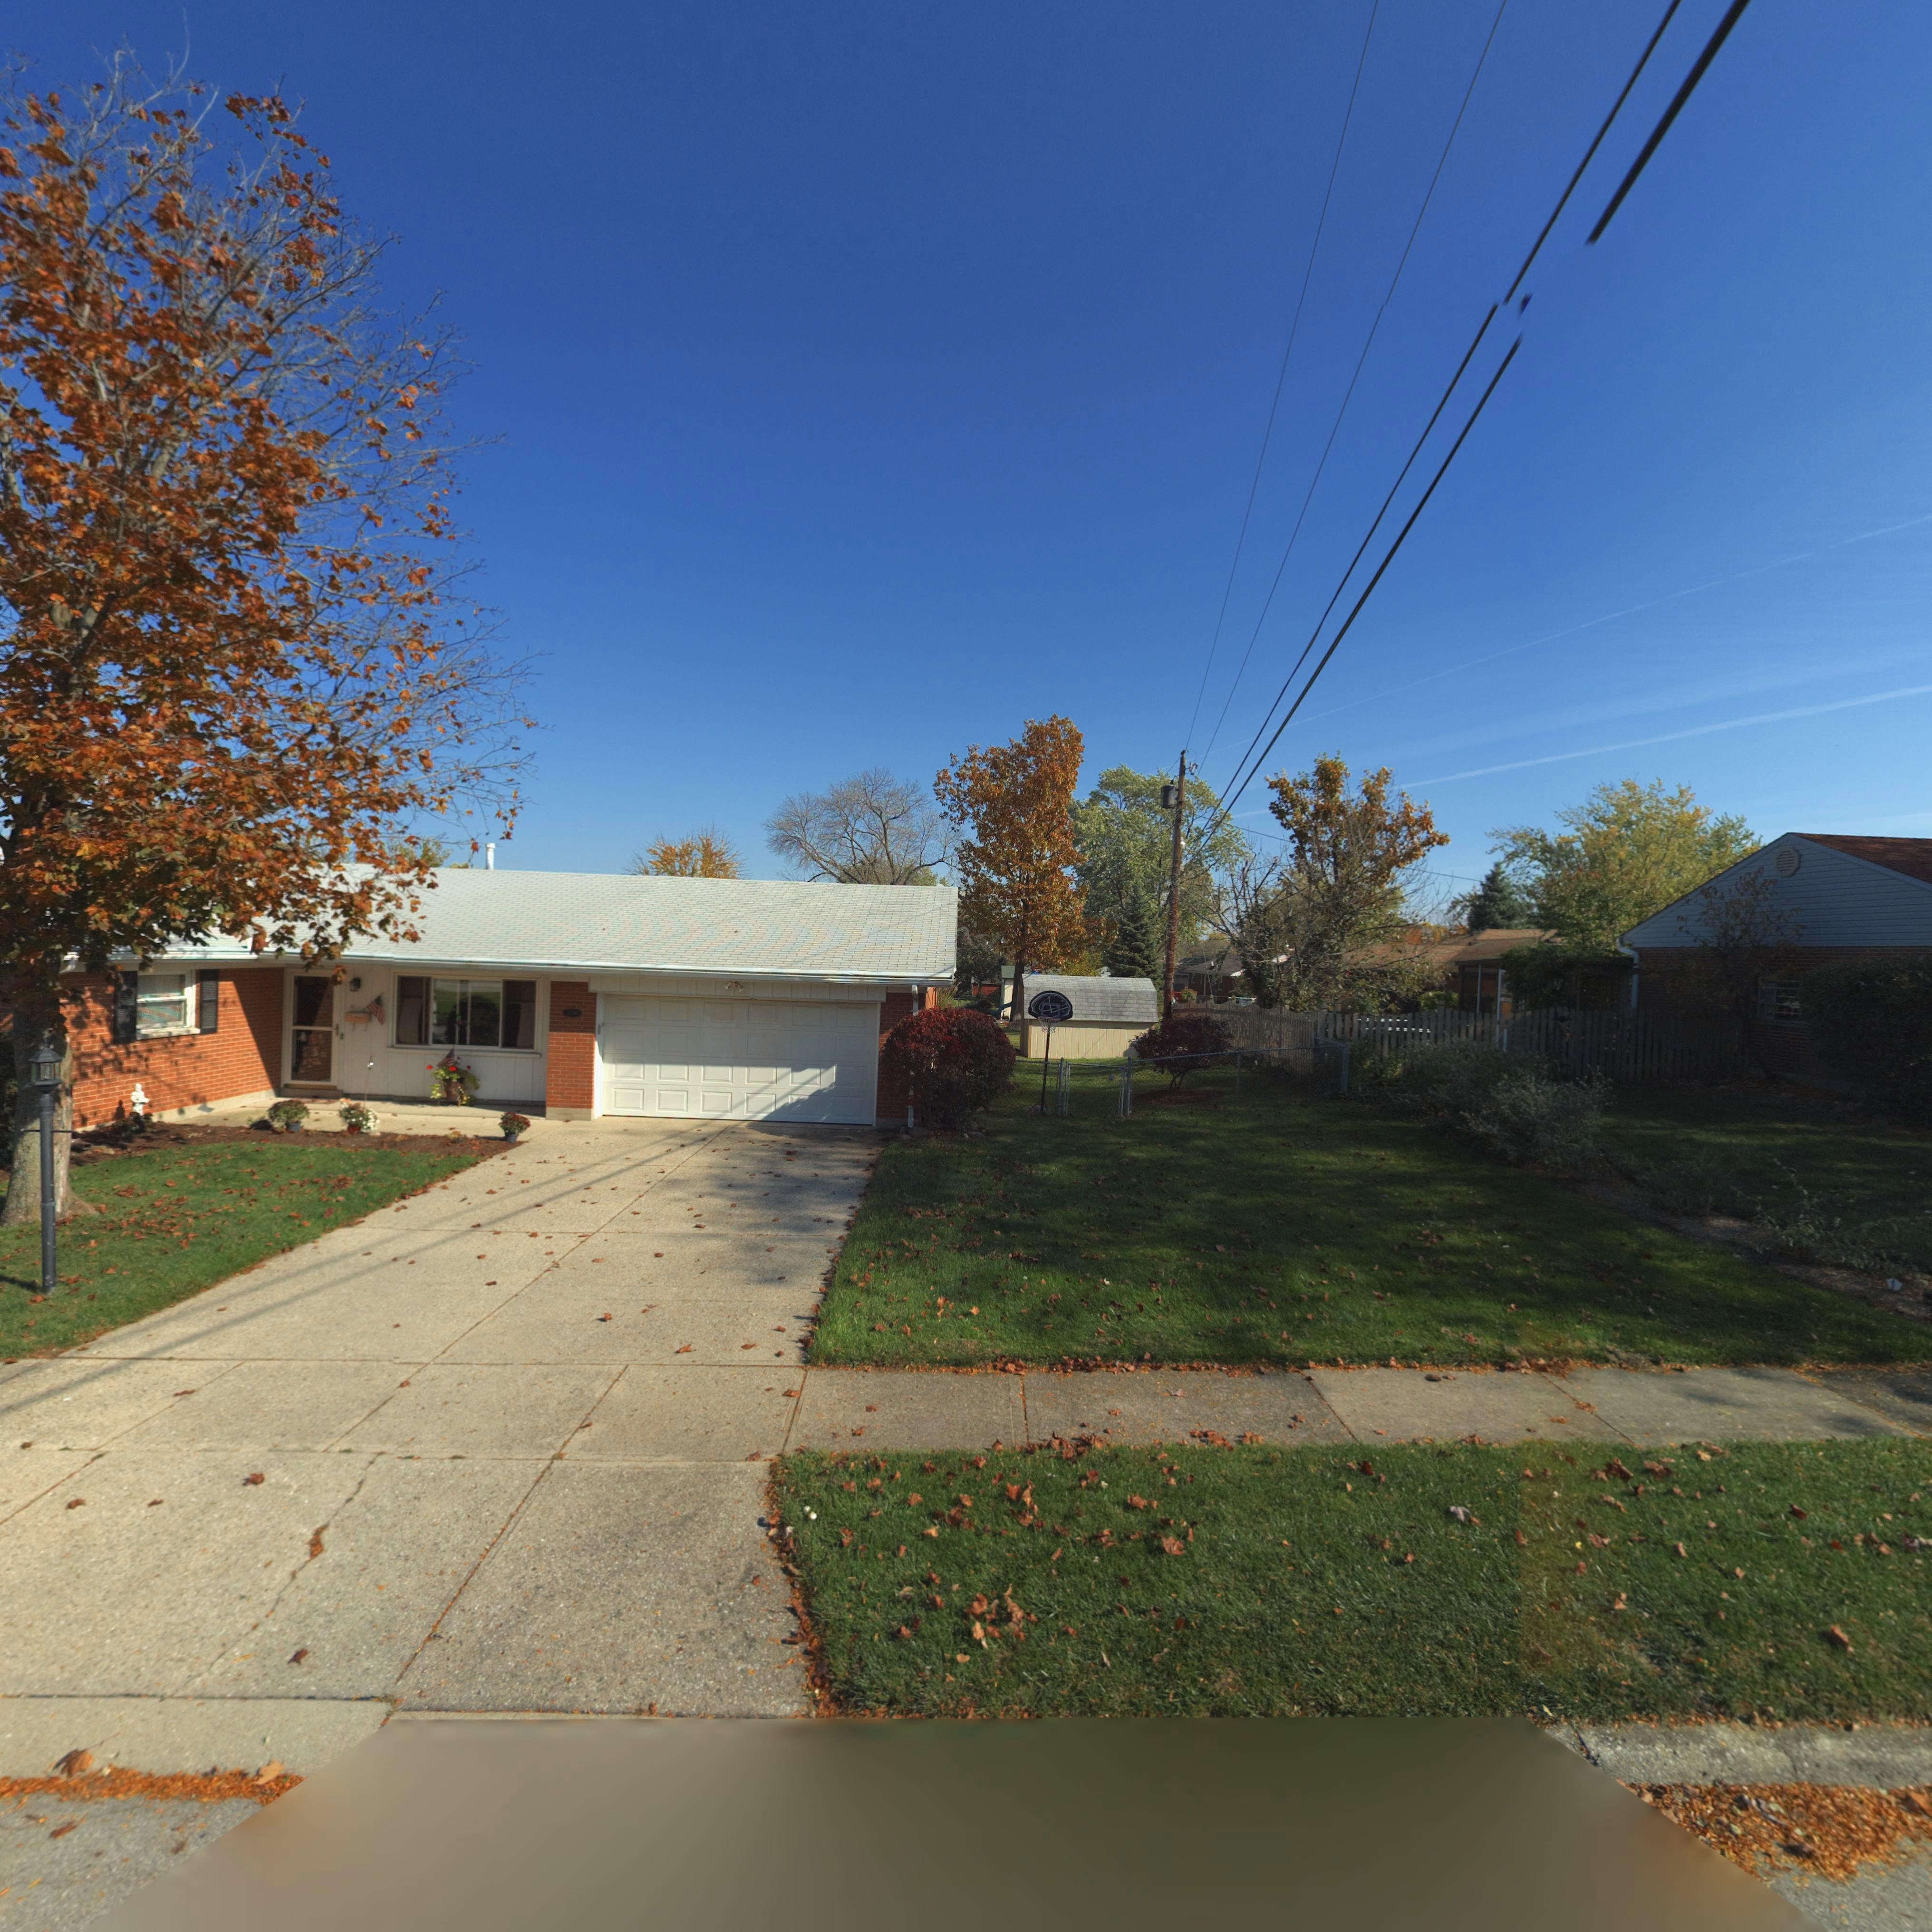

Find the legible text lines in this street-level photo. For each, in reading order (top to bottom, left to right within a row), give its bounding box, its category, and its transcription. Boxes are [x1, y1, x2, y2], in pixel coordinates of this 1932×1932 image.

[565, 1009, 580, 1017] StreetNumber: 3**0